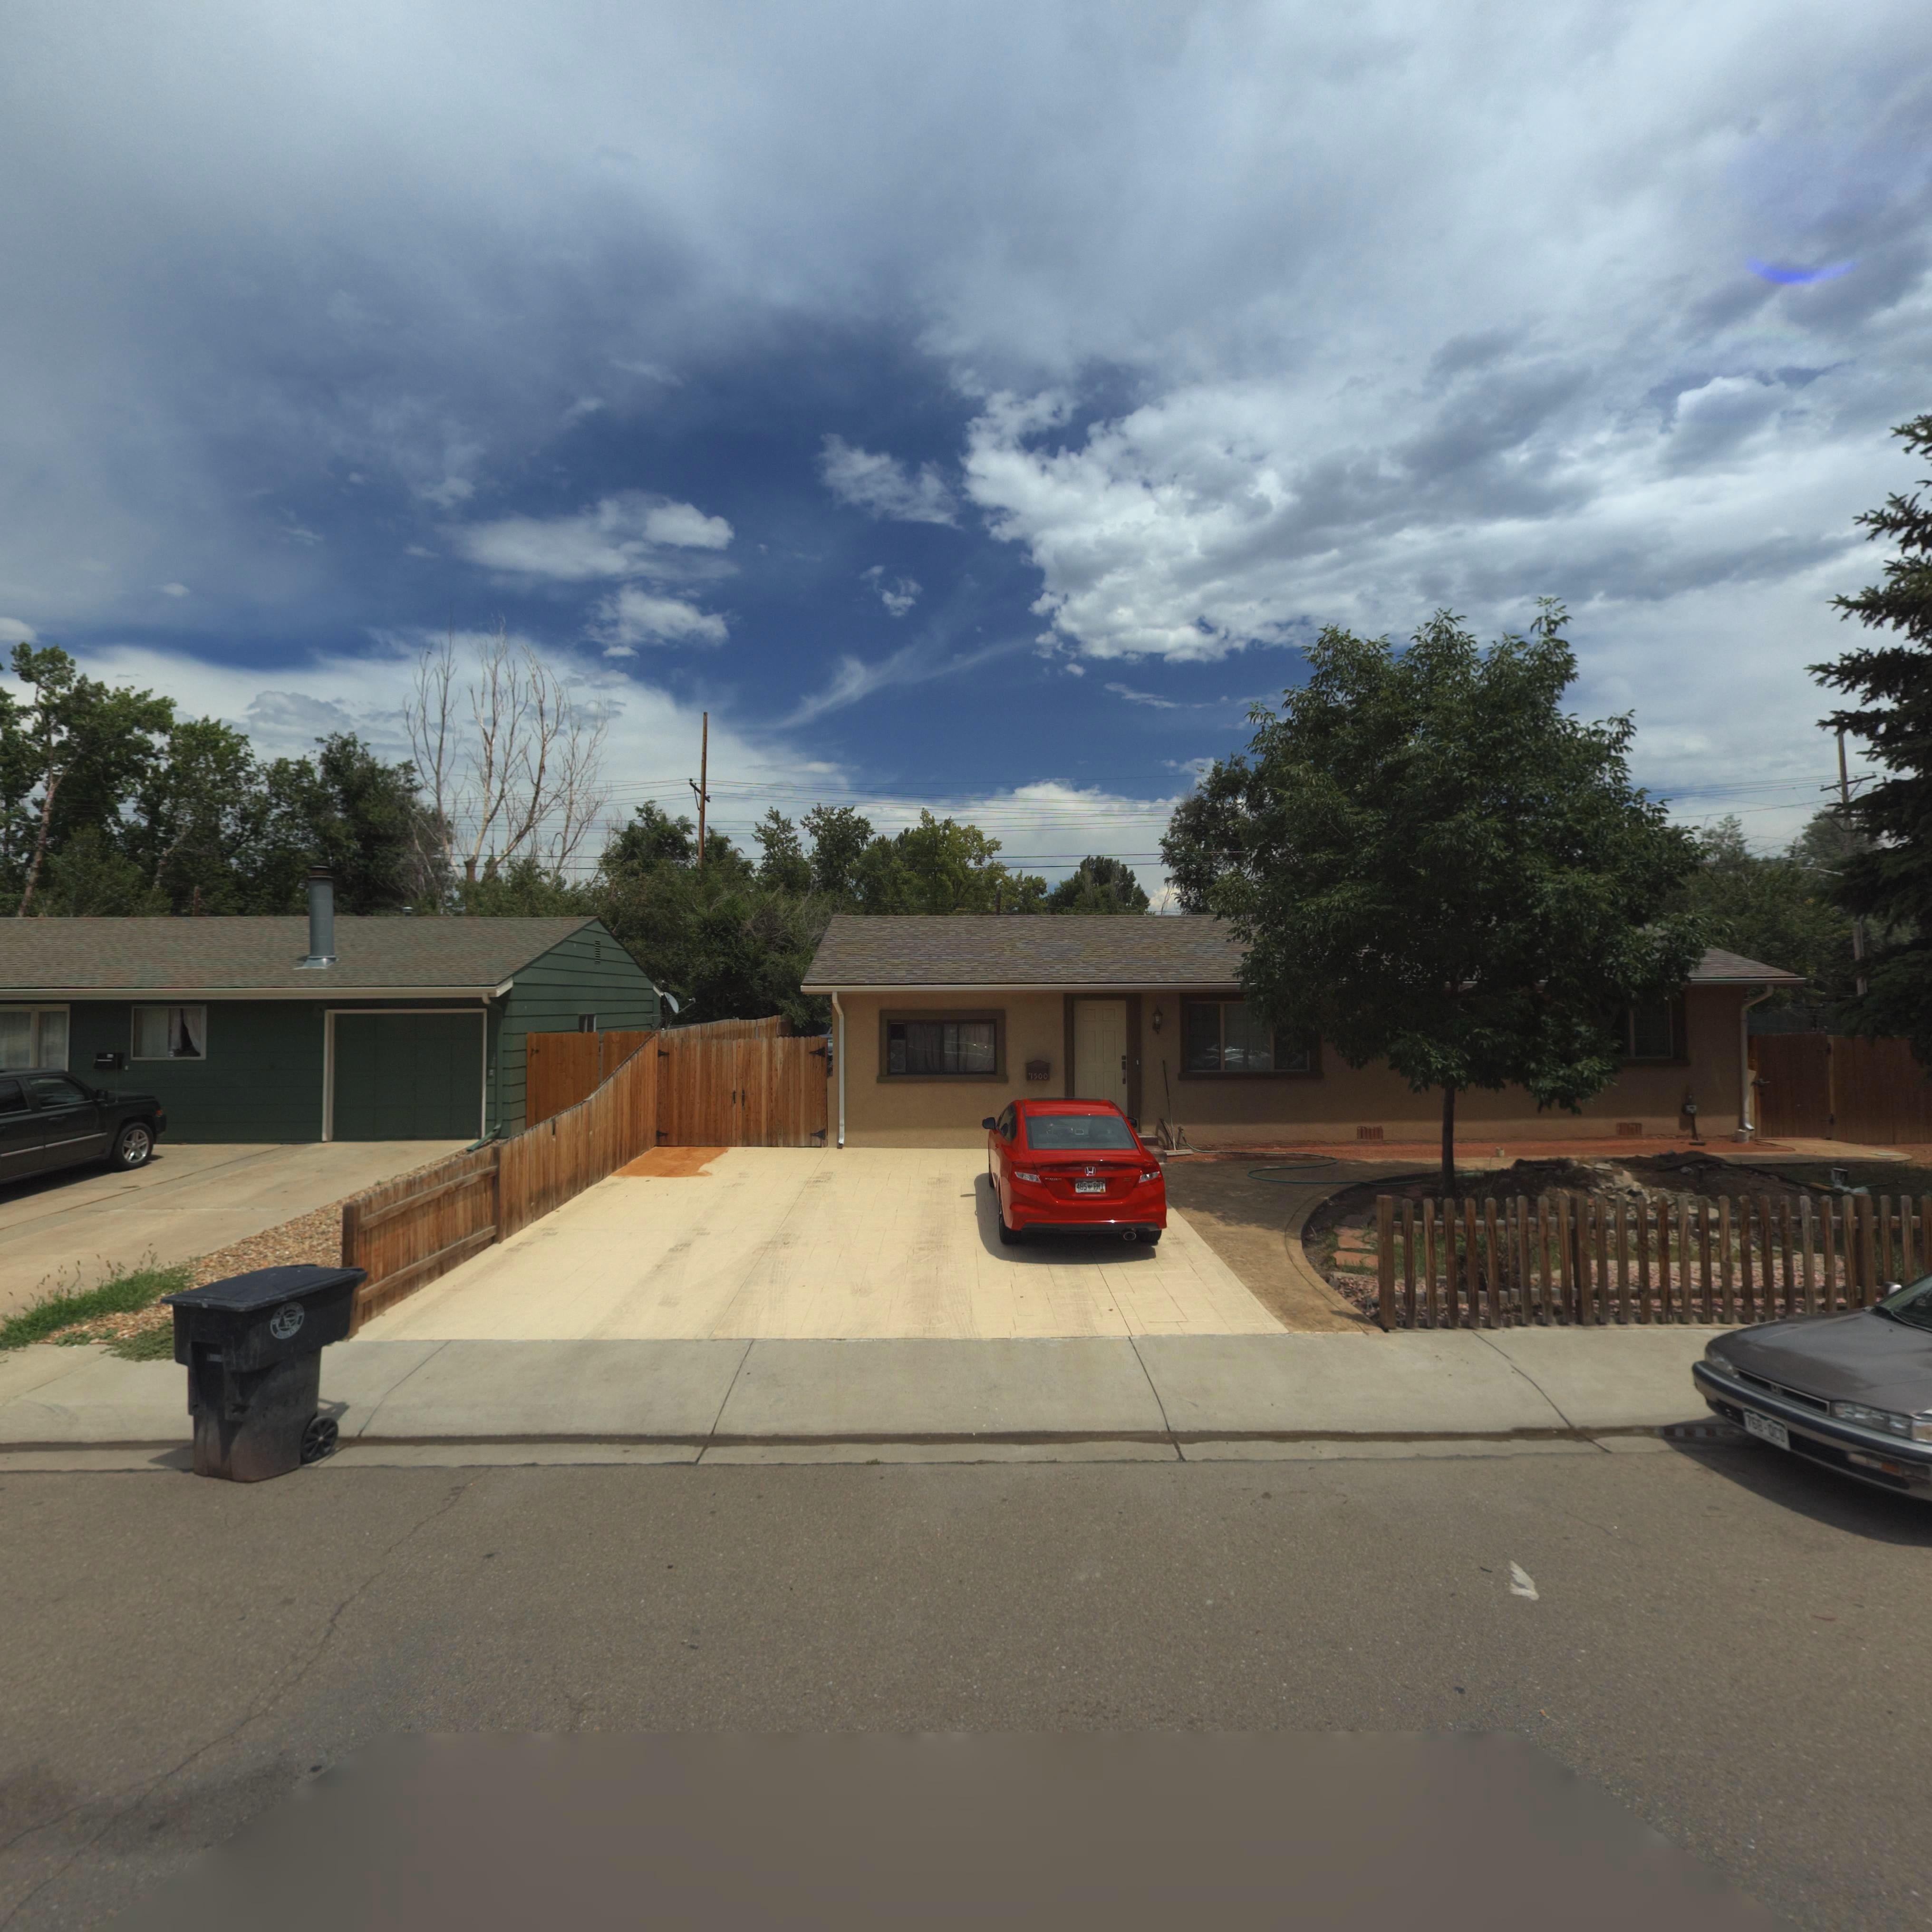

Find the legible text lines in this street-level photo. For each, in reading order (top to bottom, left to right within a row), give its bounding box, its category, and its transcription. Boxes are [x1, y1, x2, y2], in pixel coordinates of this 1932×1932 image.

[1030, 1072, 1048, 1080] StreetNumber: 1500